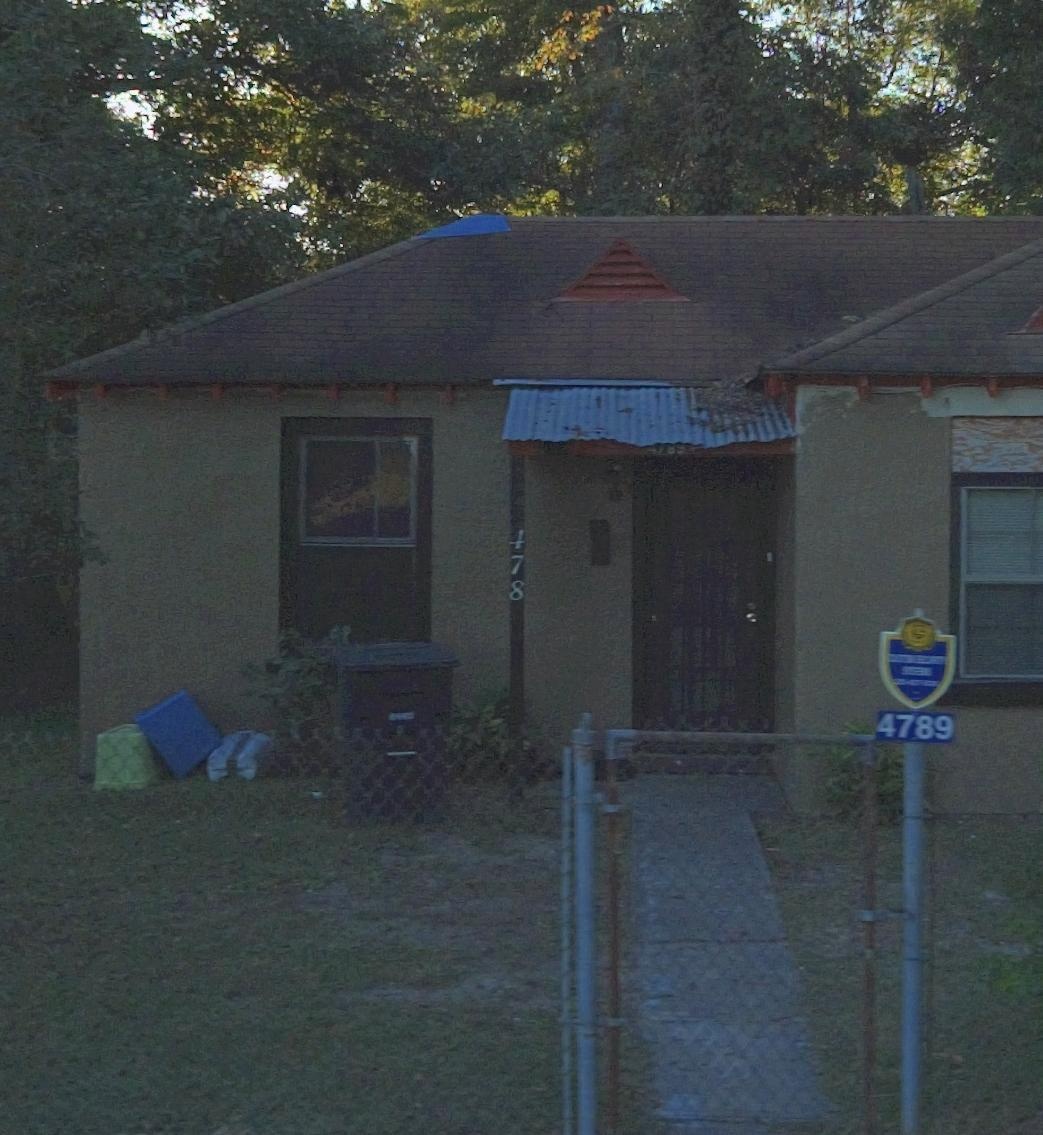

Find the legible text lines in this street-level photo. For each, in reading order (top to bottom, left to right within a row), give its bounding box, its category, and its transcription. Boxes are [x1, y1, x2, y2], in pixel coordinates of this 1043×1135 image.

[508, 527, 526, 604] StreetNumber: 478
[875, 714, 954, 741] StreetNumber: 4789